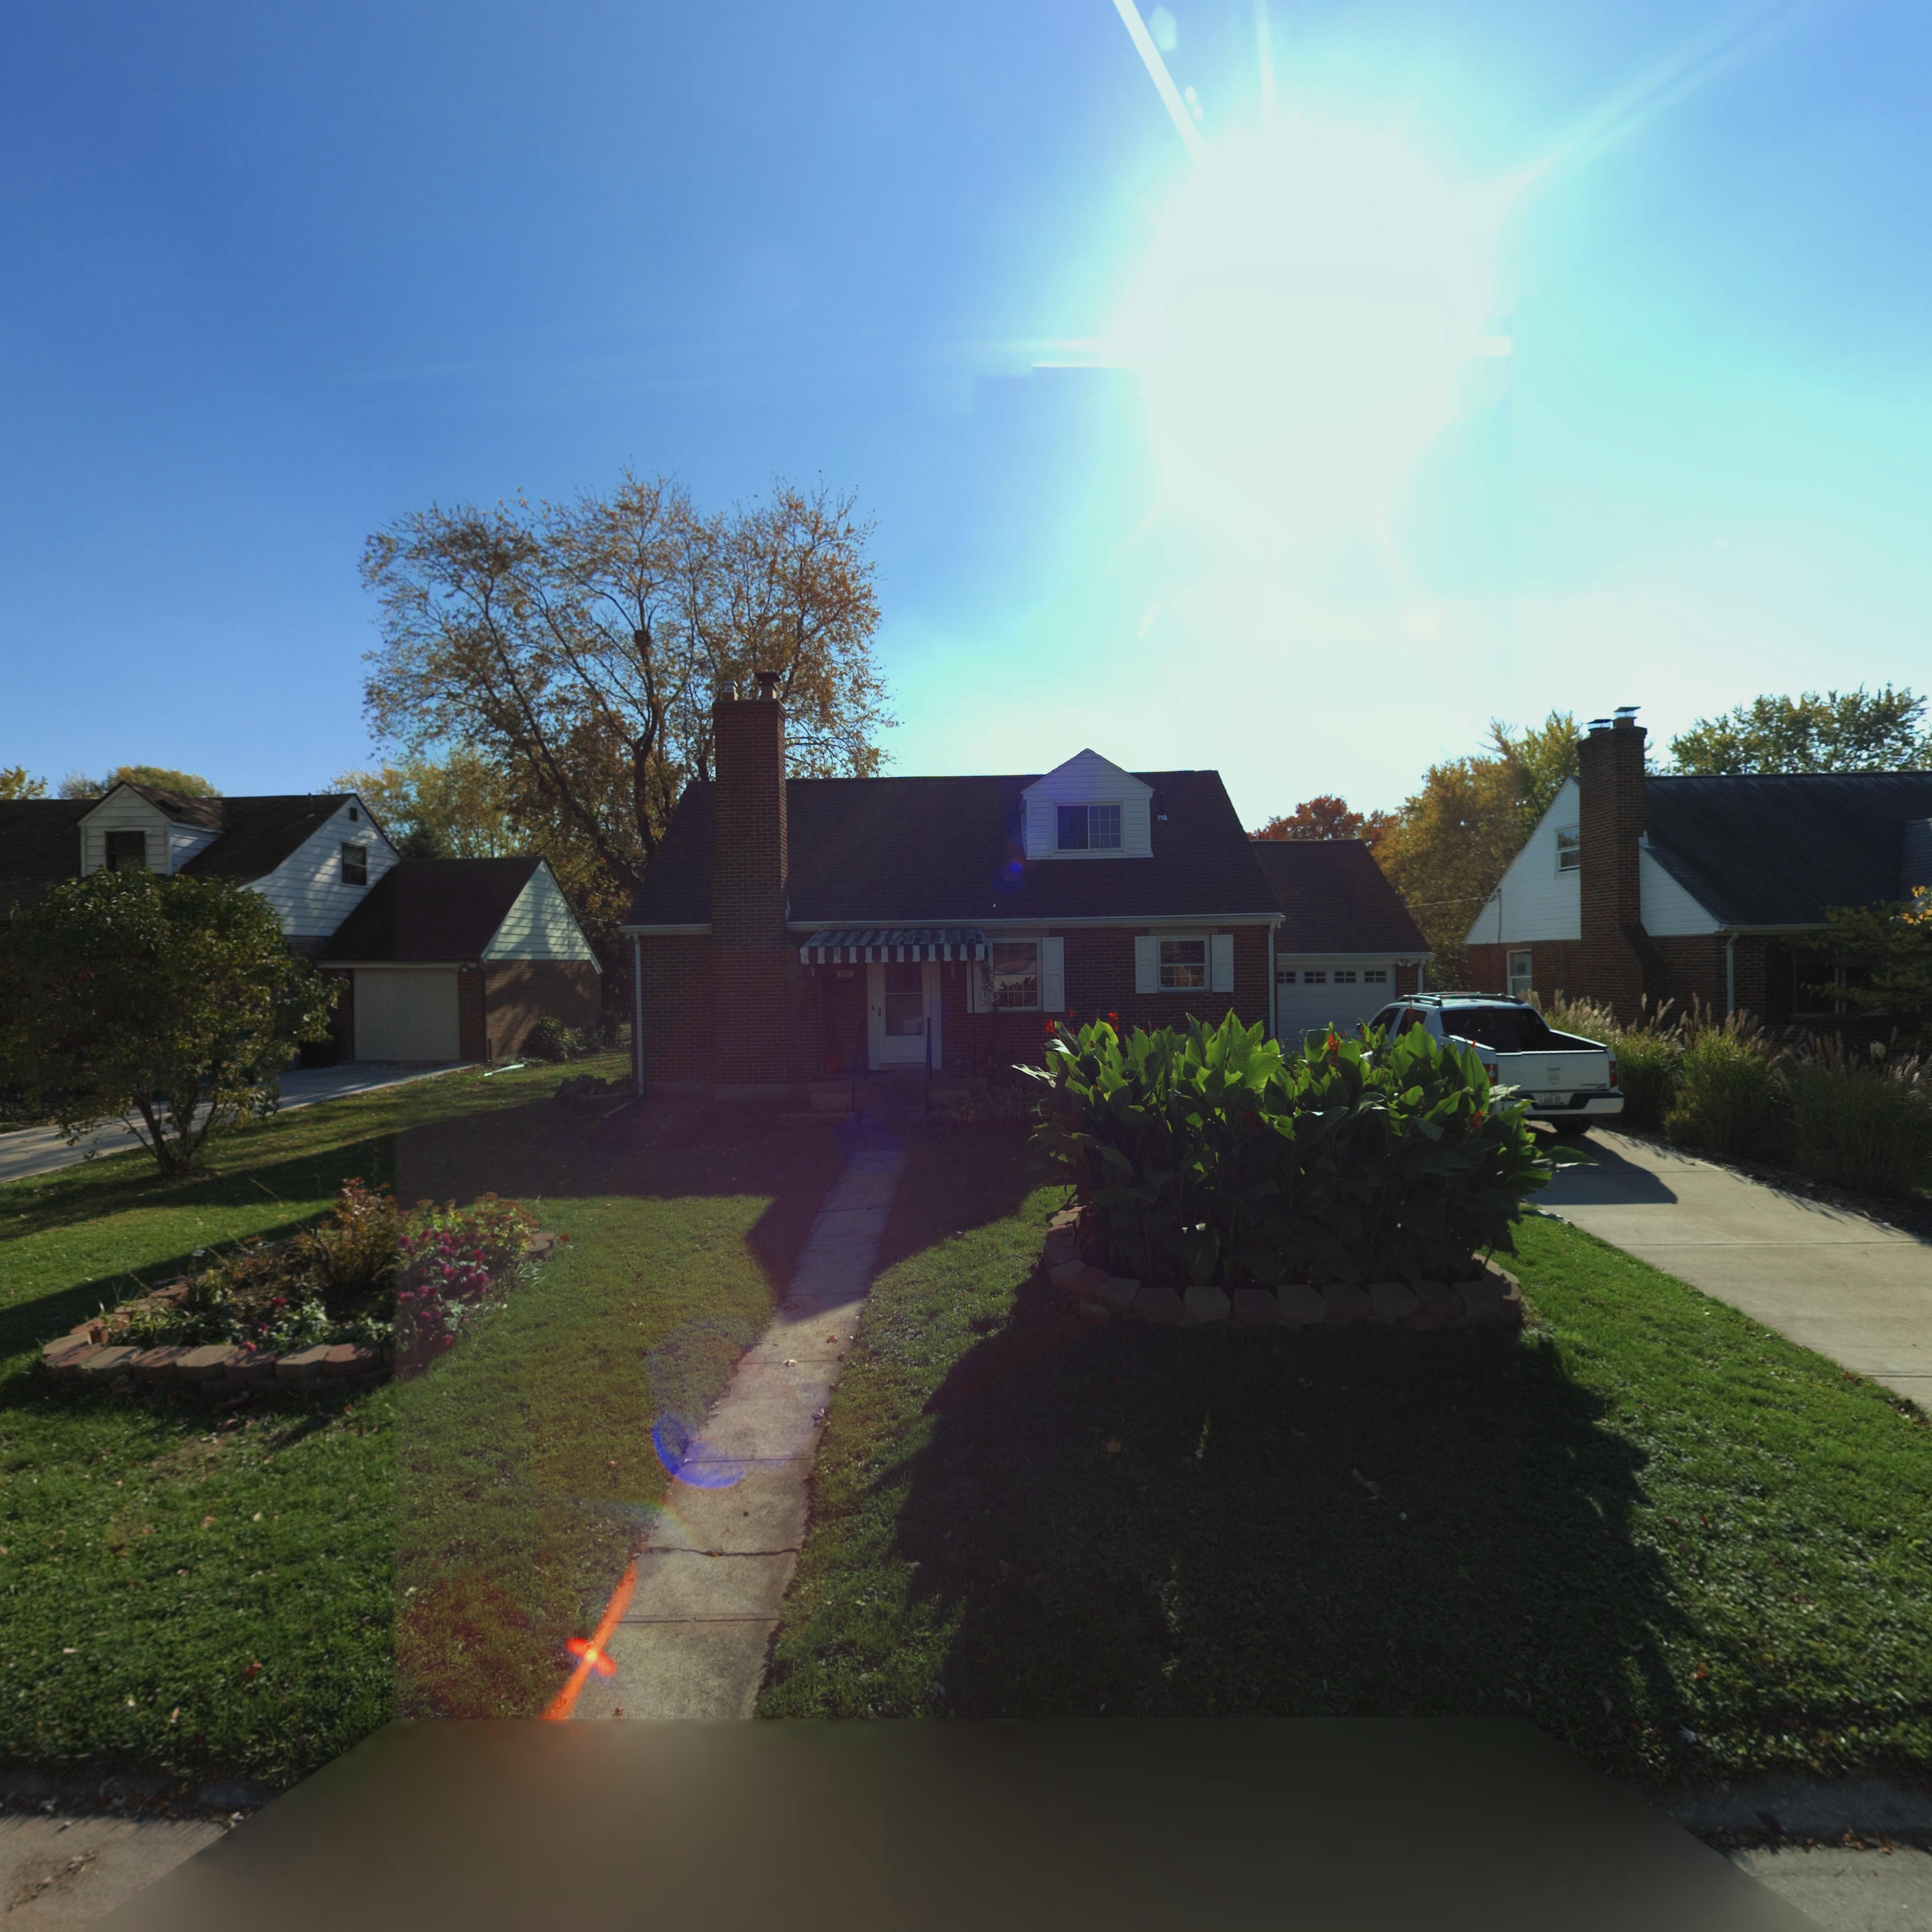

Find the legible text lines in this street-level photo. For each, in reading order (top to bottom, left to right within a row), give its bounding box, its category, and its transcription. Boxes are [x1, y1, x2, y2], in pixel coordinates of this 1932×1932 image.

[840, 971, 851, 977] StreetNumber: 62*